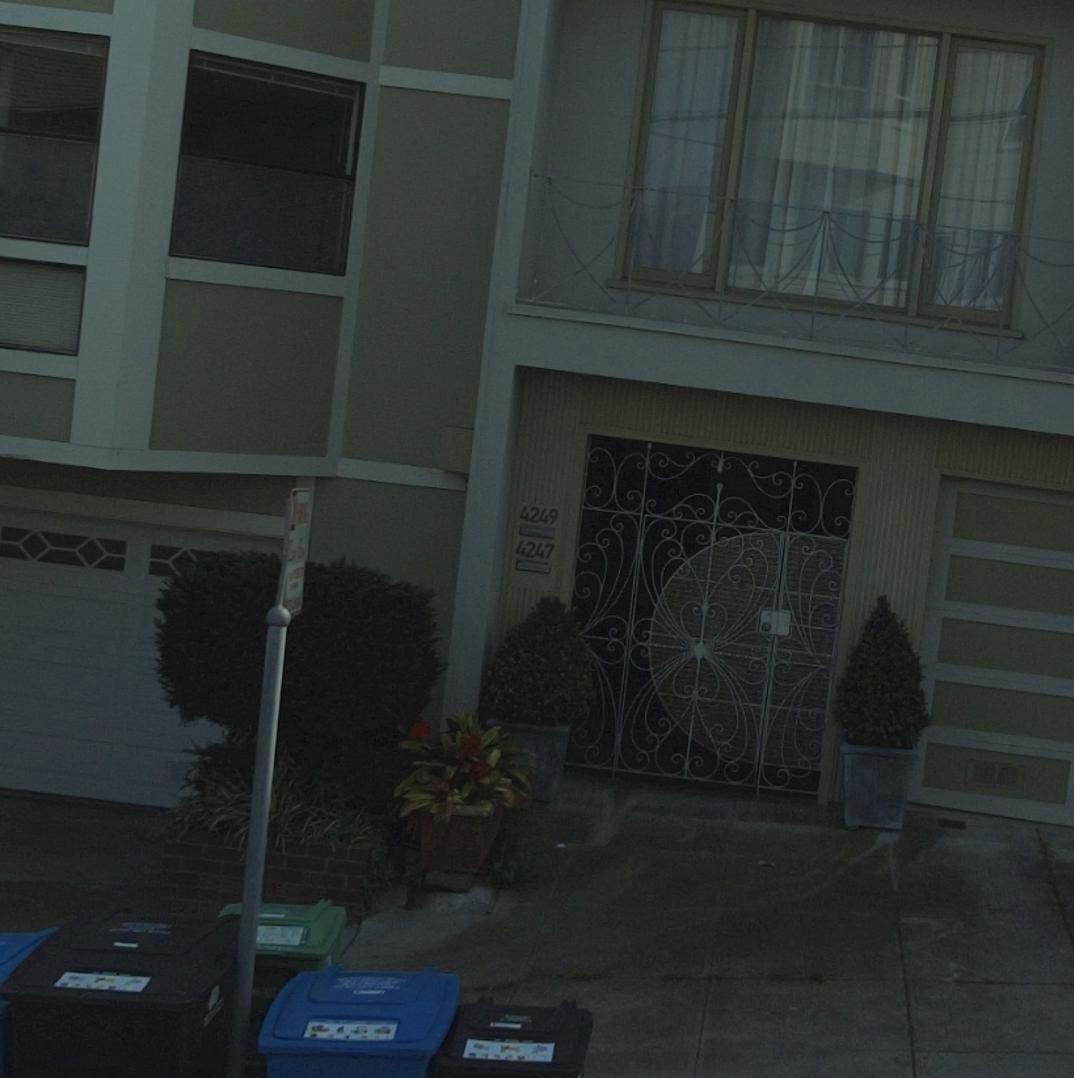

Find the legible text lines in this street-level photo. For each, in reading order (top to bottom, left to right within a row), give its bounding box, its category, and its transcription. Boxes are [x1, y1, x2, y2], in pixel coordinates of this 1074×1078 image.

[518, 505, 560, 525] StreetNumber: 4249
[513, 540, 557, 561] StreetNumber: 4247